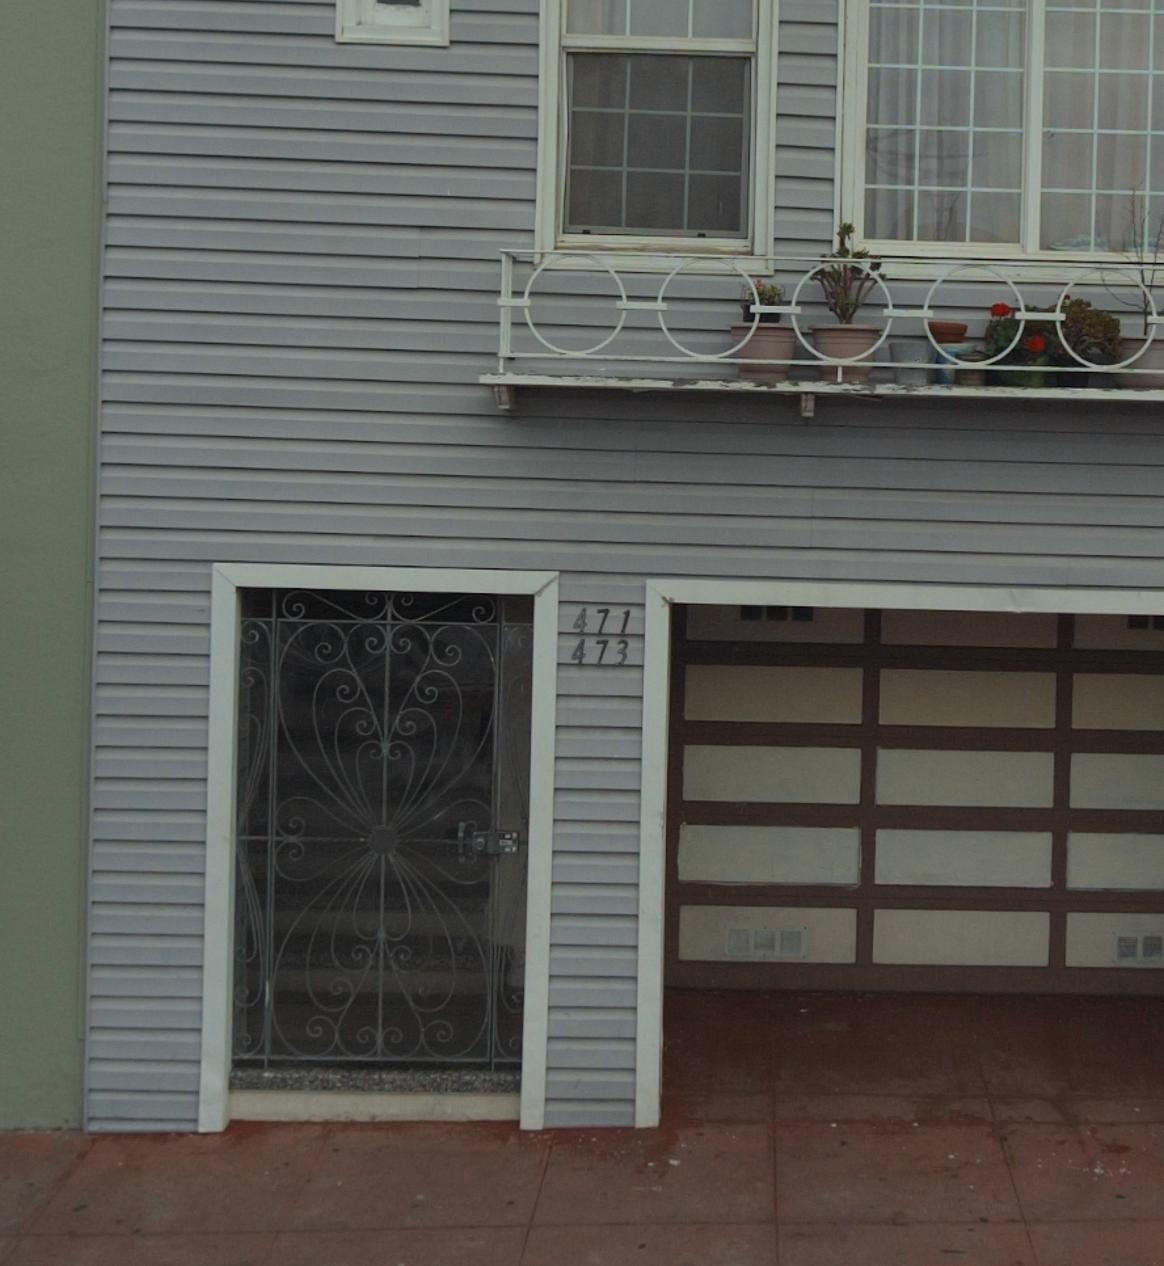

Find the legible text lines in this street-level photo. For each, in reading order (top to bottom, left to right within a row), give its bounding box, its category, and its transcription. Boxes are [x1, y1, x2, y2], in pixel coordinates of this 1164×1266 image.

[571, 604, 632, 636] StreetNumber: 471
[570, 638, 629, 668] StreetNumber: 473